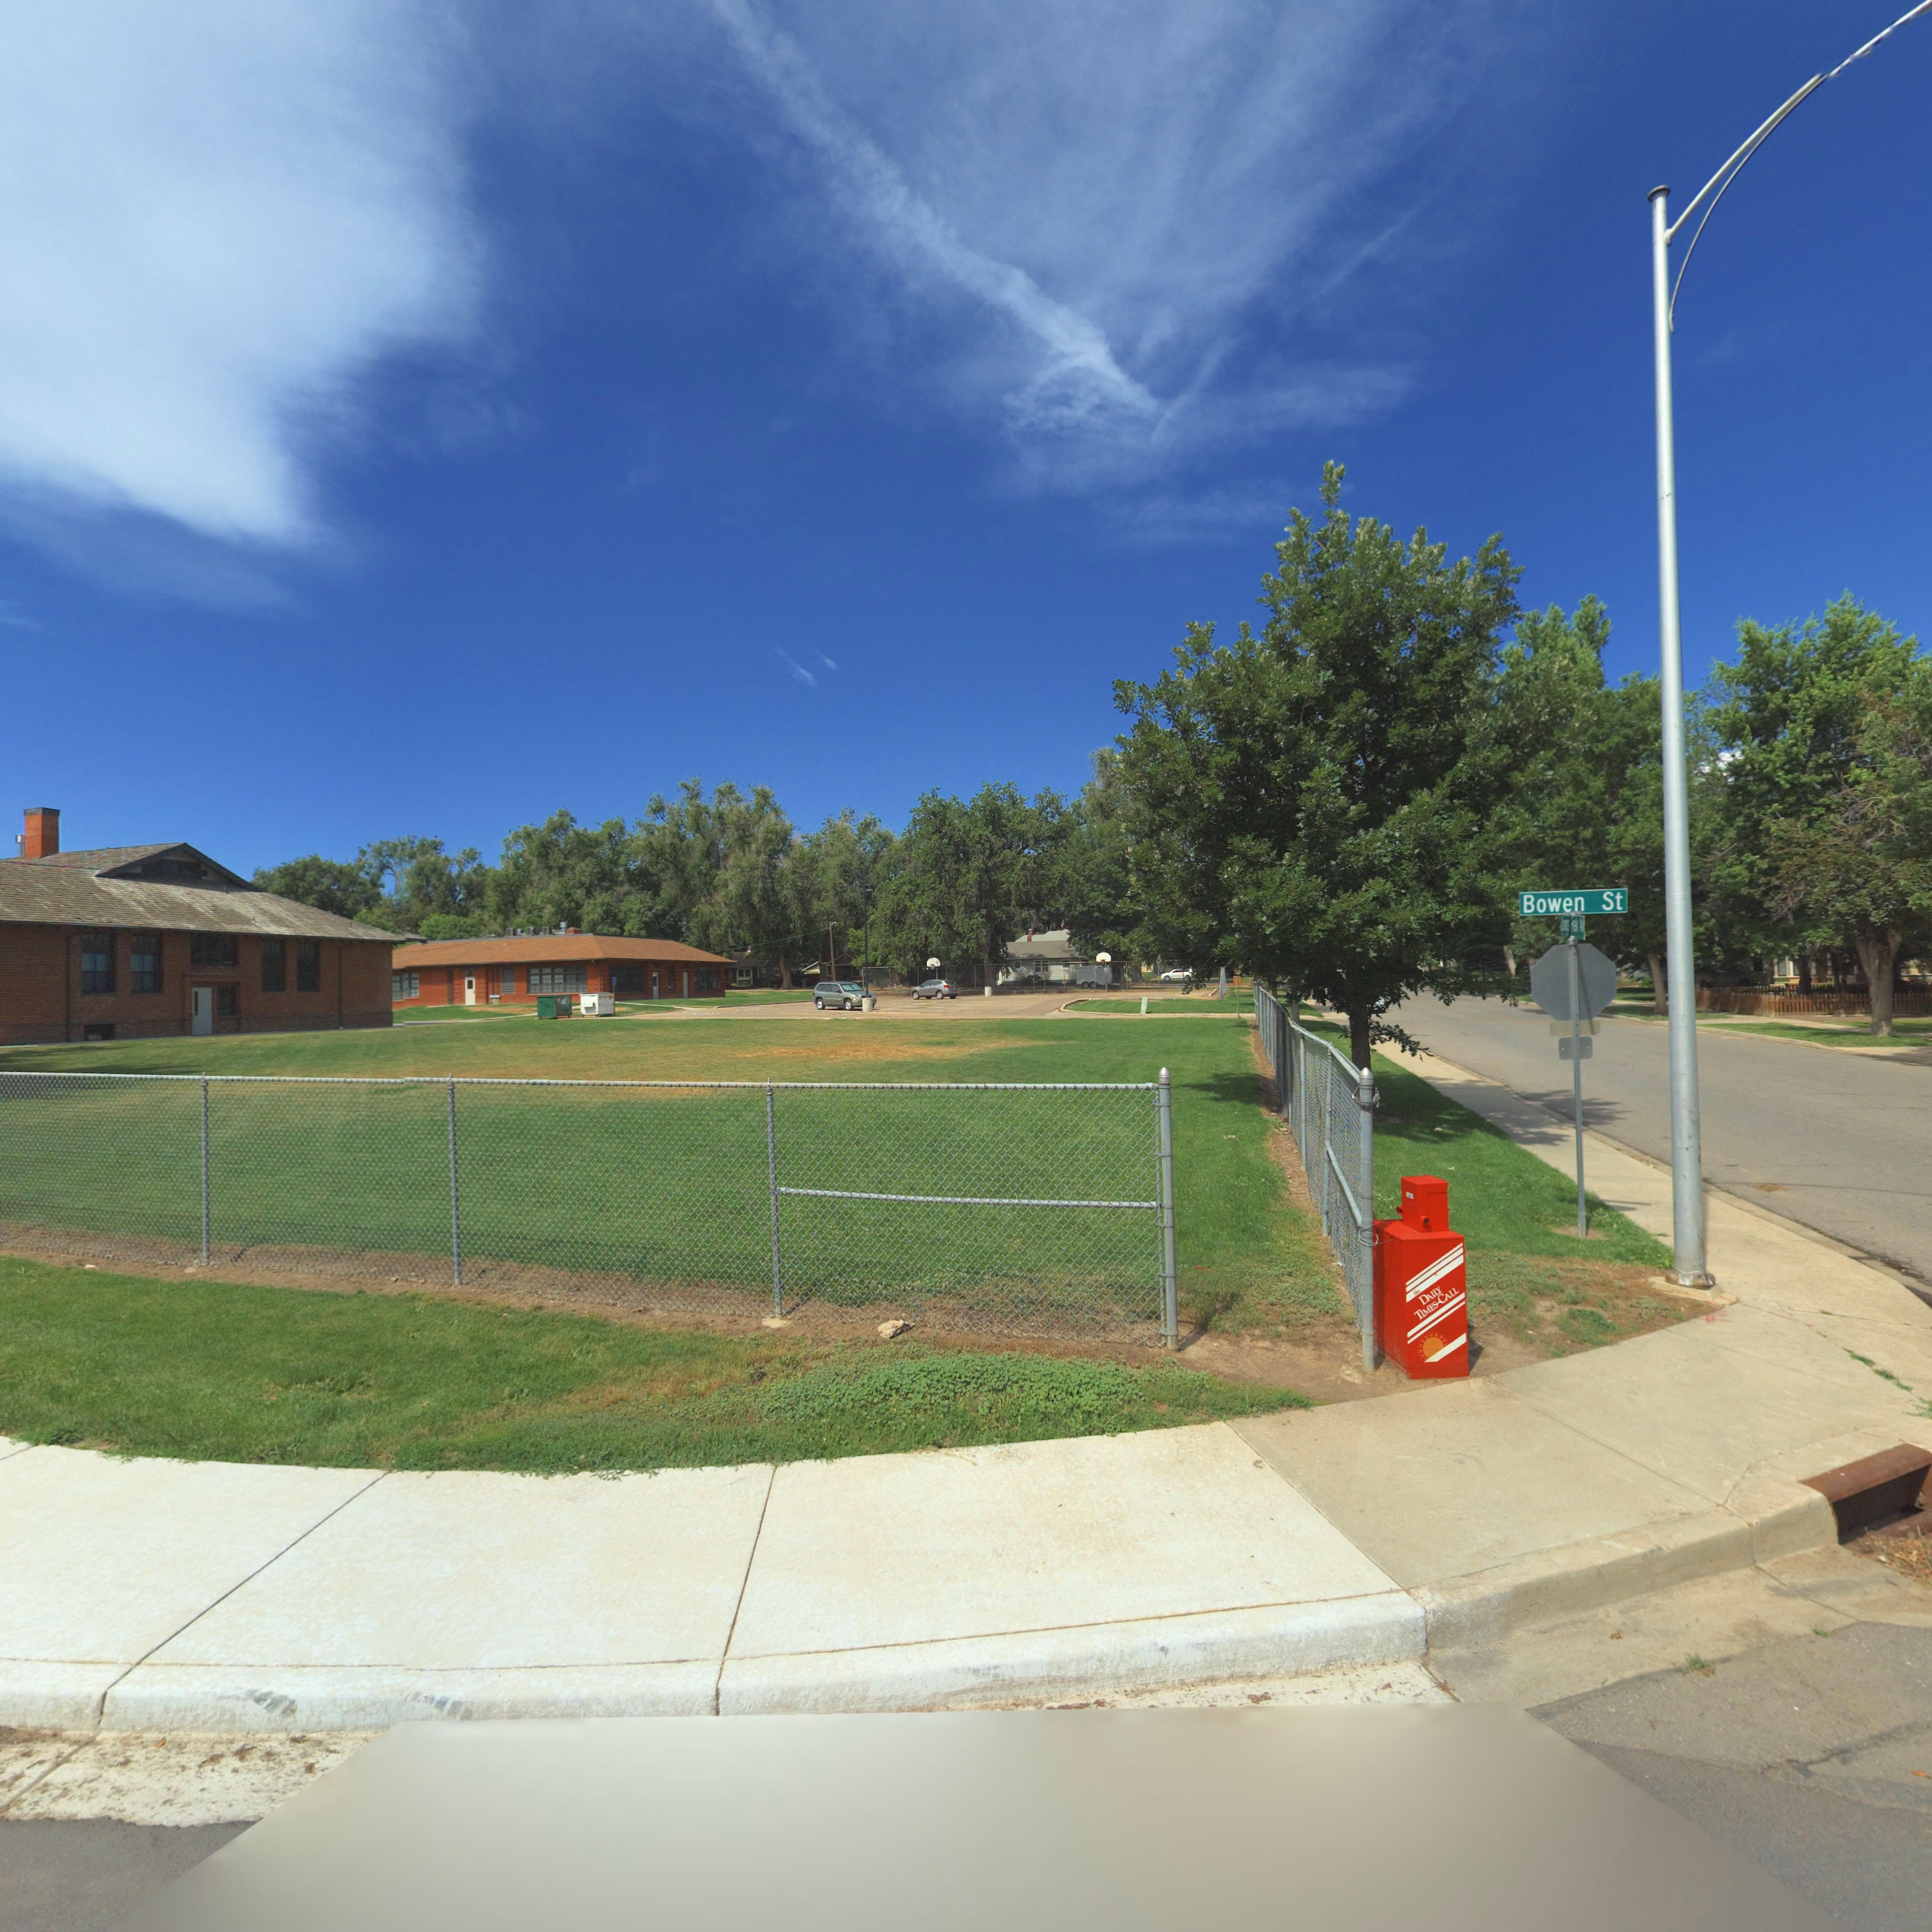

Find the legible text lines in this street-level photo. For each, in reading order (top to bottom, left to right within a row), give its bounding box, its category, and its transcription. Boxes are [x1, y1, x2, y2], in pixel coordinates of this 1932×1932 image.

[1521, 890, 1624, 913] StreetName: Bowen St
[1561, 917, 1584, 936] None: L**** P*** AV